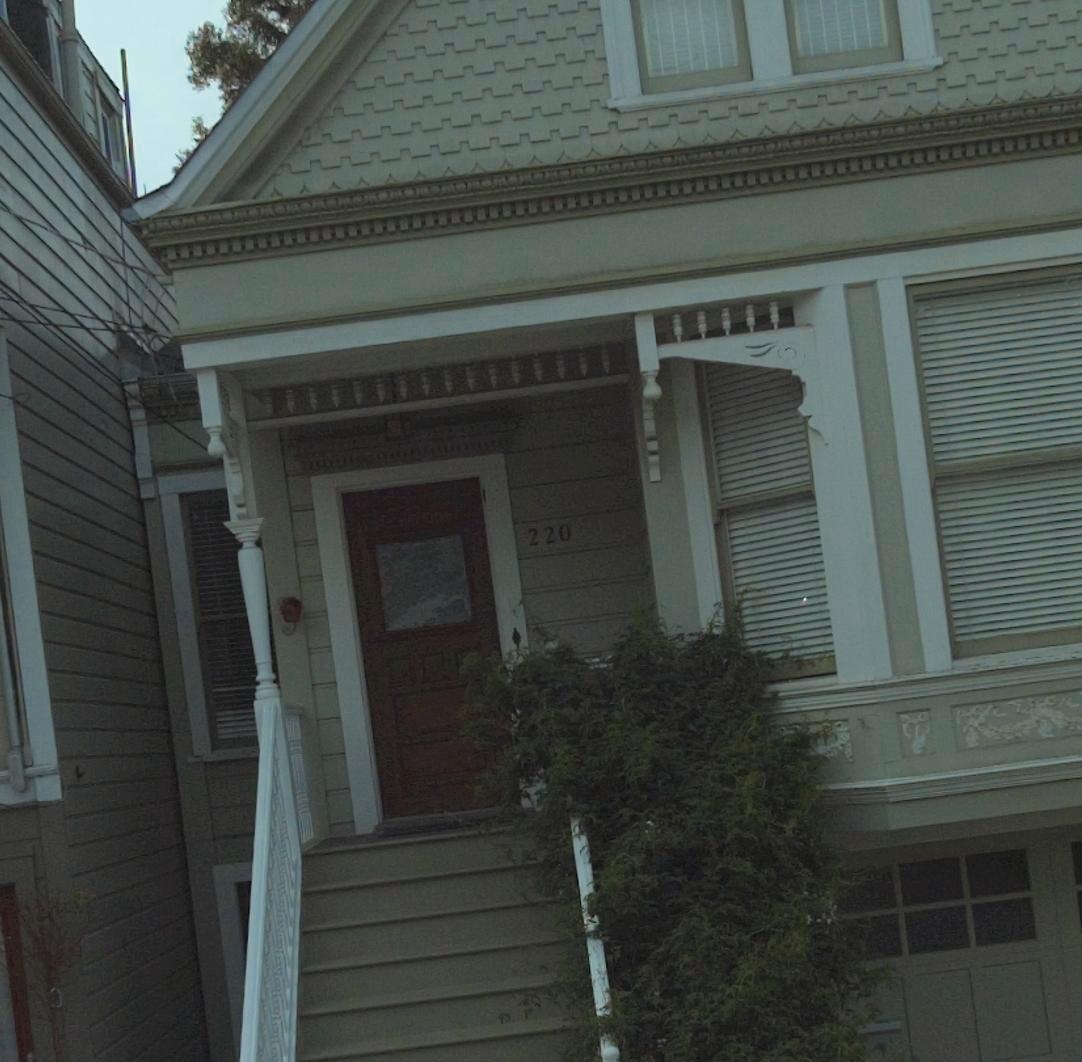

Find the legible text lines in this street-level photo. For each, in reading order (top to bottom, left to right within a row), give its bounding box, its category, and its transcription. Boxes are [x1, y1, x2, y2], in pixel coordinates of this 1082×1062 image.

[527, 523, 573, 547] StreetNumber: 220